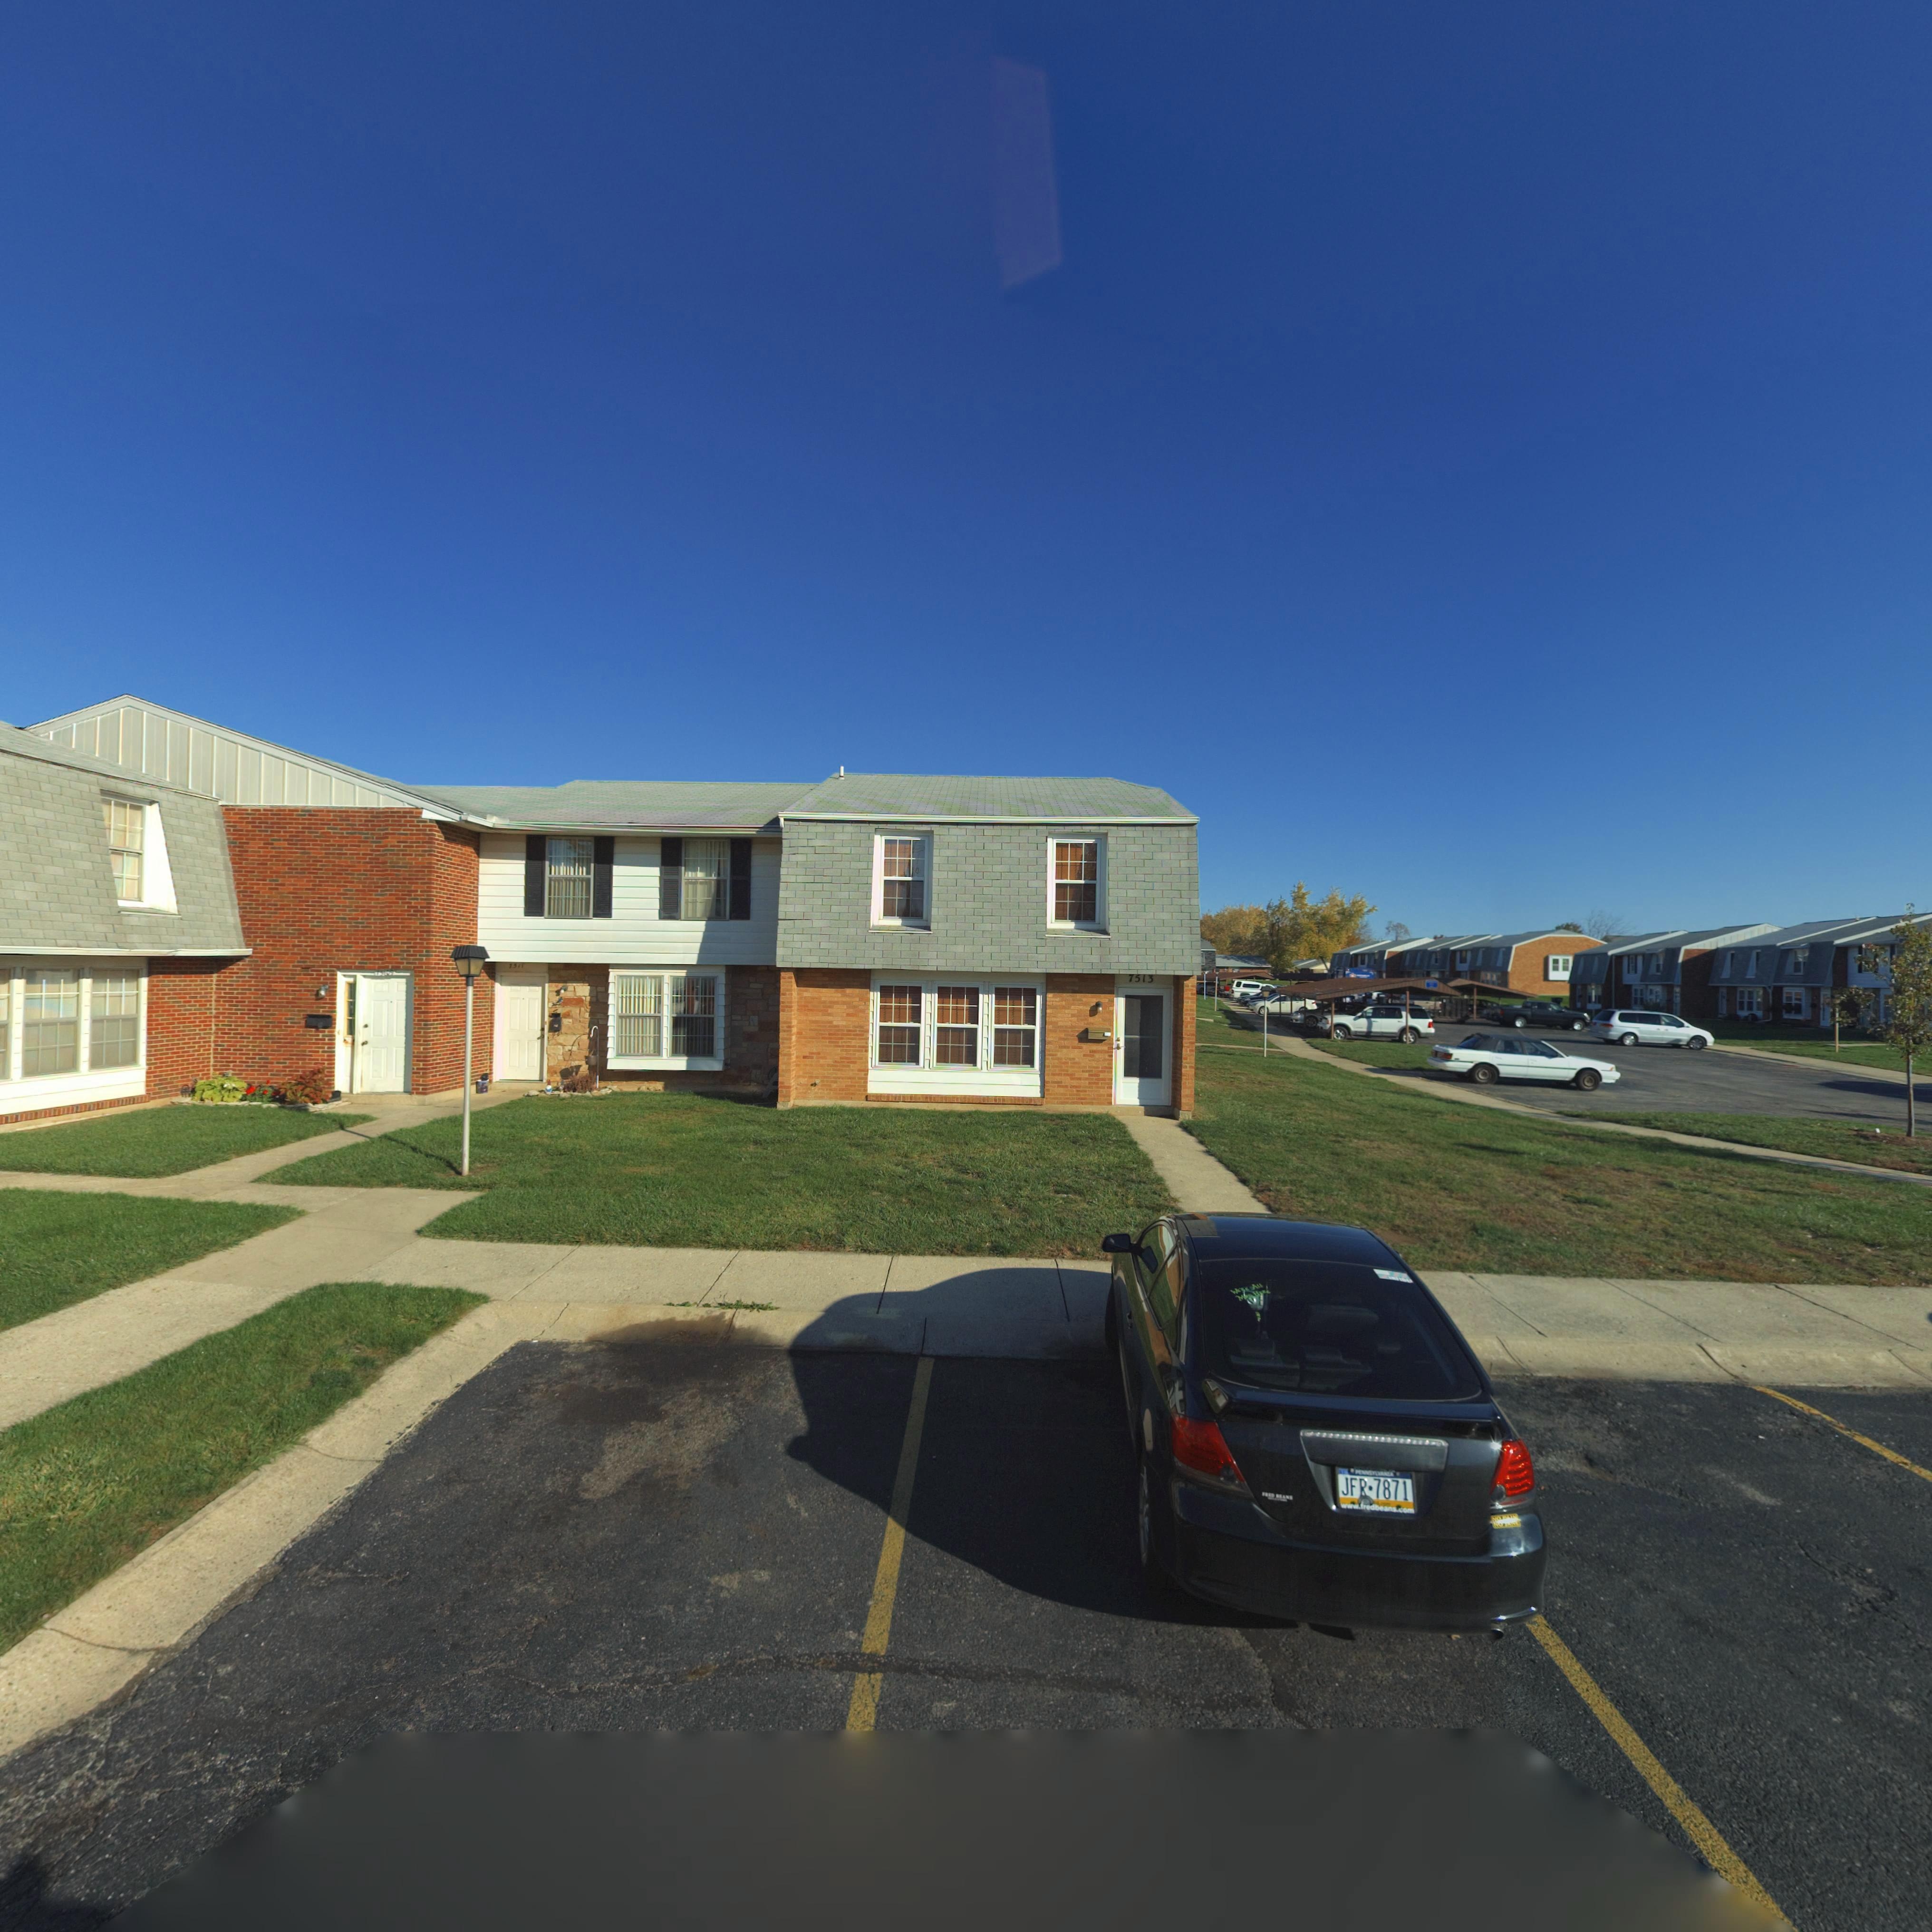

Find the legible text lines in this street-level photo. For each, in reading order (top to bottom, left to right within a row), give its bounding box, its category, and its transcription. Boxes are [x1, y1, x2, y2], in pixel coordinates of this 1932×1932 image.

[508, 963, 523, 968] StreetNumber: 7511
[375, 969, 394, 976] StreetNumber: 75*09
[1128, 974, 1153, 983] StreetNumber: 7513